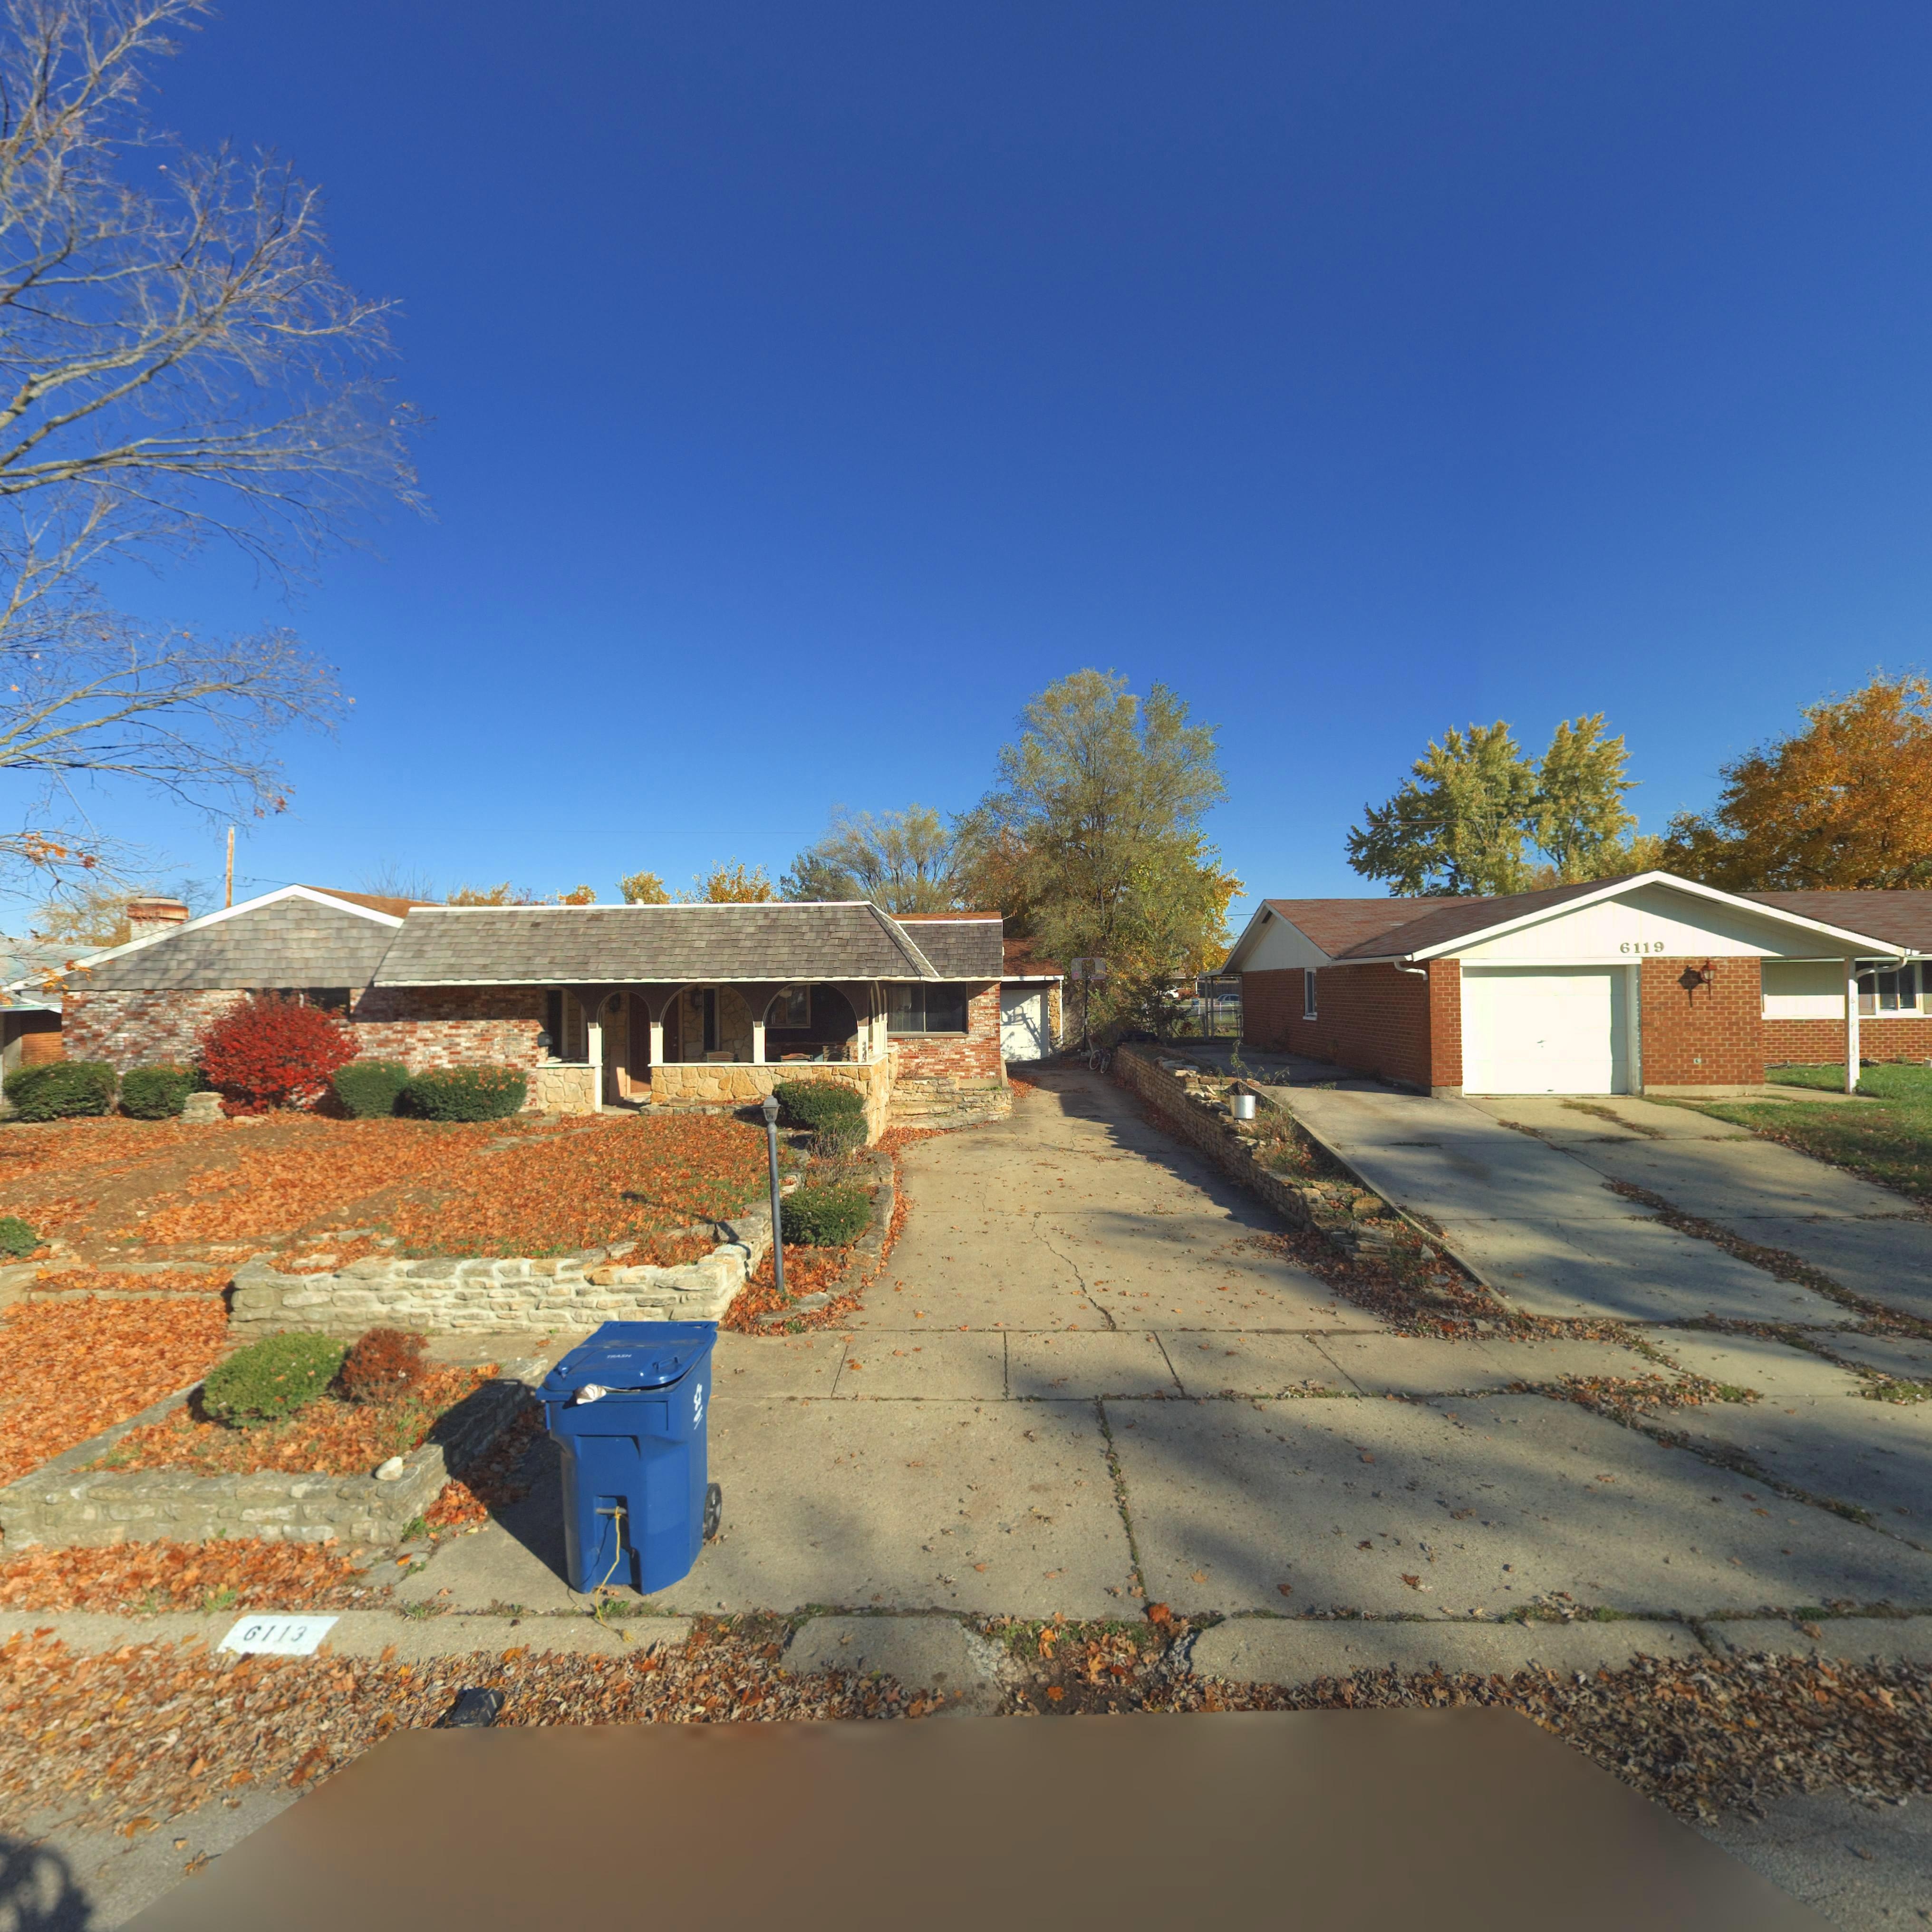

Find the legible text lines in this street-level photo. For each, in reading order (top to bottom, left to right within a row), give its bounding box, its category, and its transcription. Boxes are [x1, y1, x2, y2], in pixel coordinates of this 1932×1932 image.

[1620, 941, 1665, 954] StreetNumber: 6119
[1850, 996, 1856, 1027] StreetNumber: 6119
[241, 1623, 310, 1643] StreetNumber: 6113